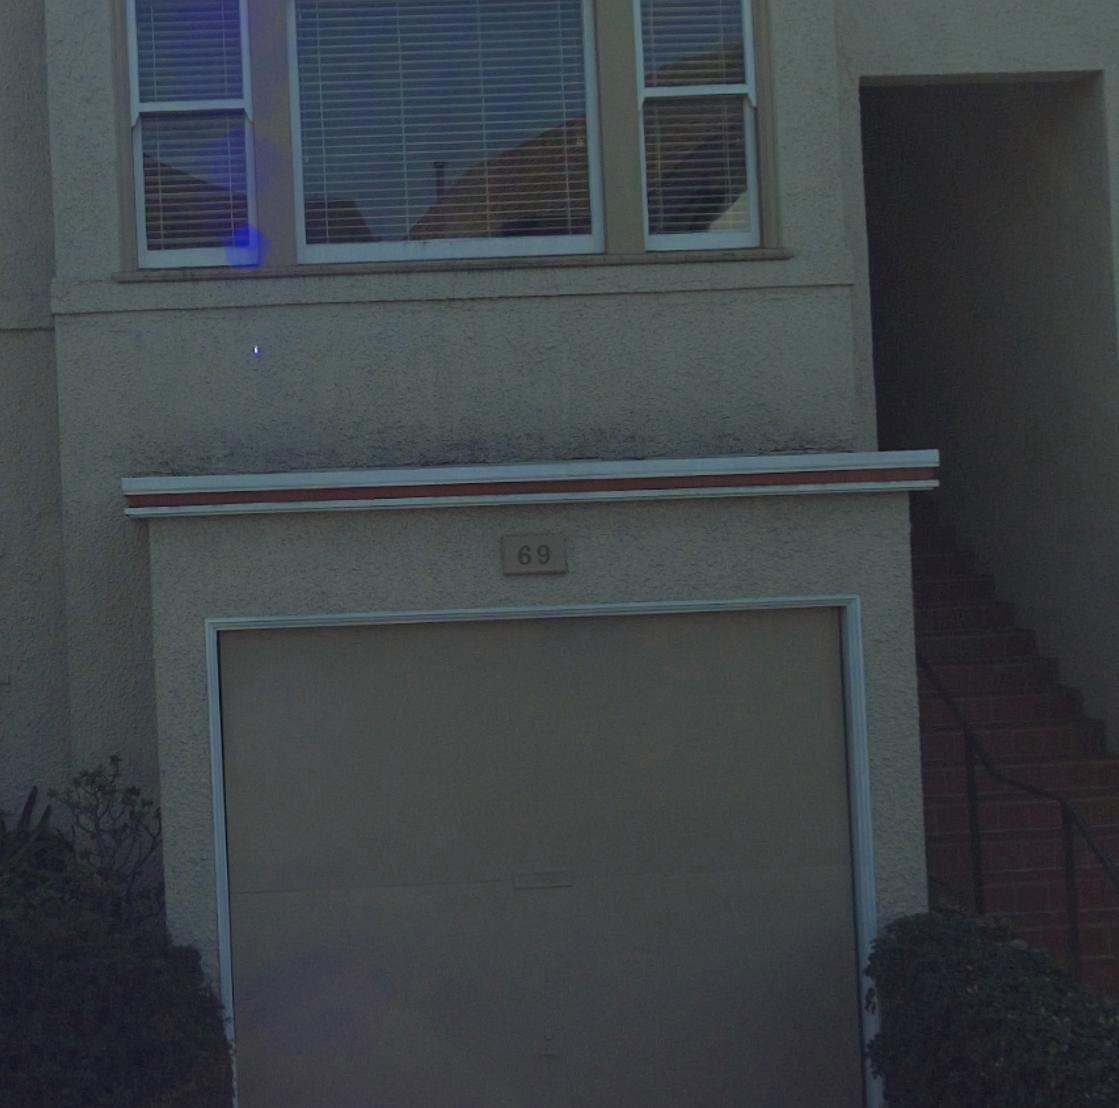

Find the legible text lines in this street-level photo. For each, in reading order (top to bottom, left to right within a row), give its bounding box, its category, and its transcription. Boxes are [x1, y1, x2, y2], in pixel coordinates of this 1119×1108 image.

[516, 542, 552, 567] StreetNumber: 69